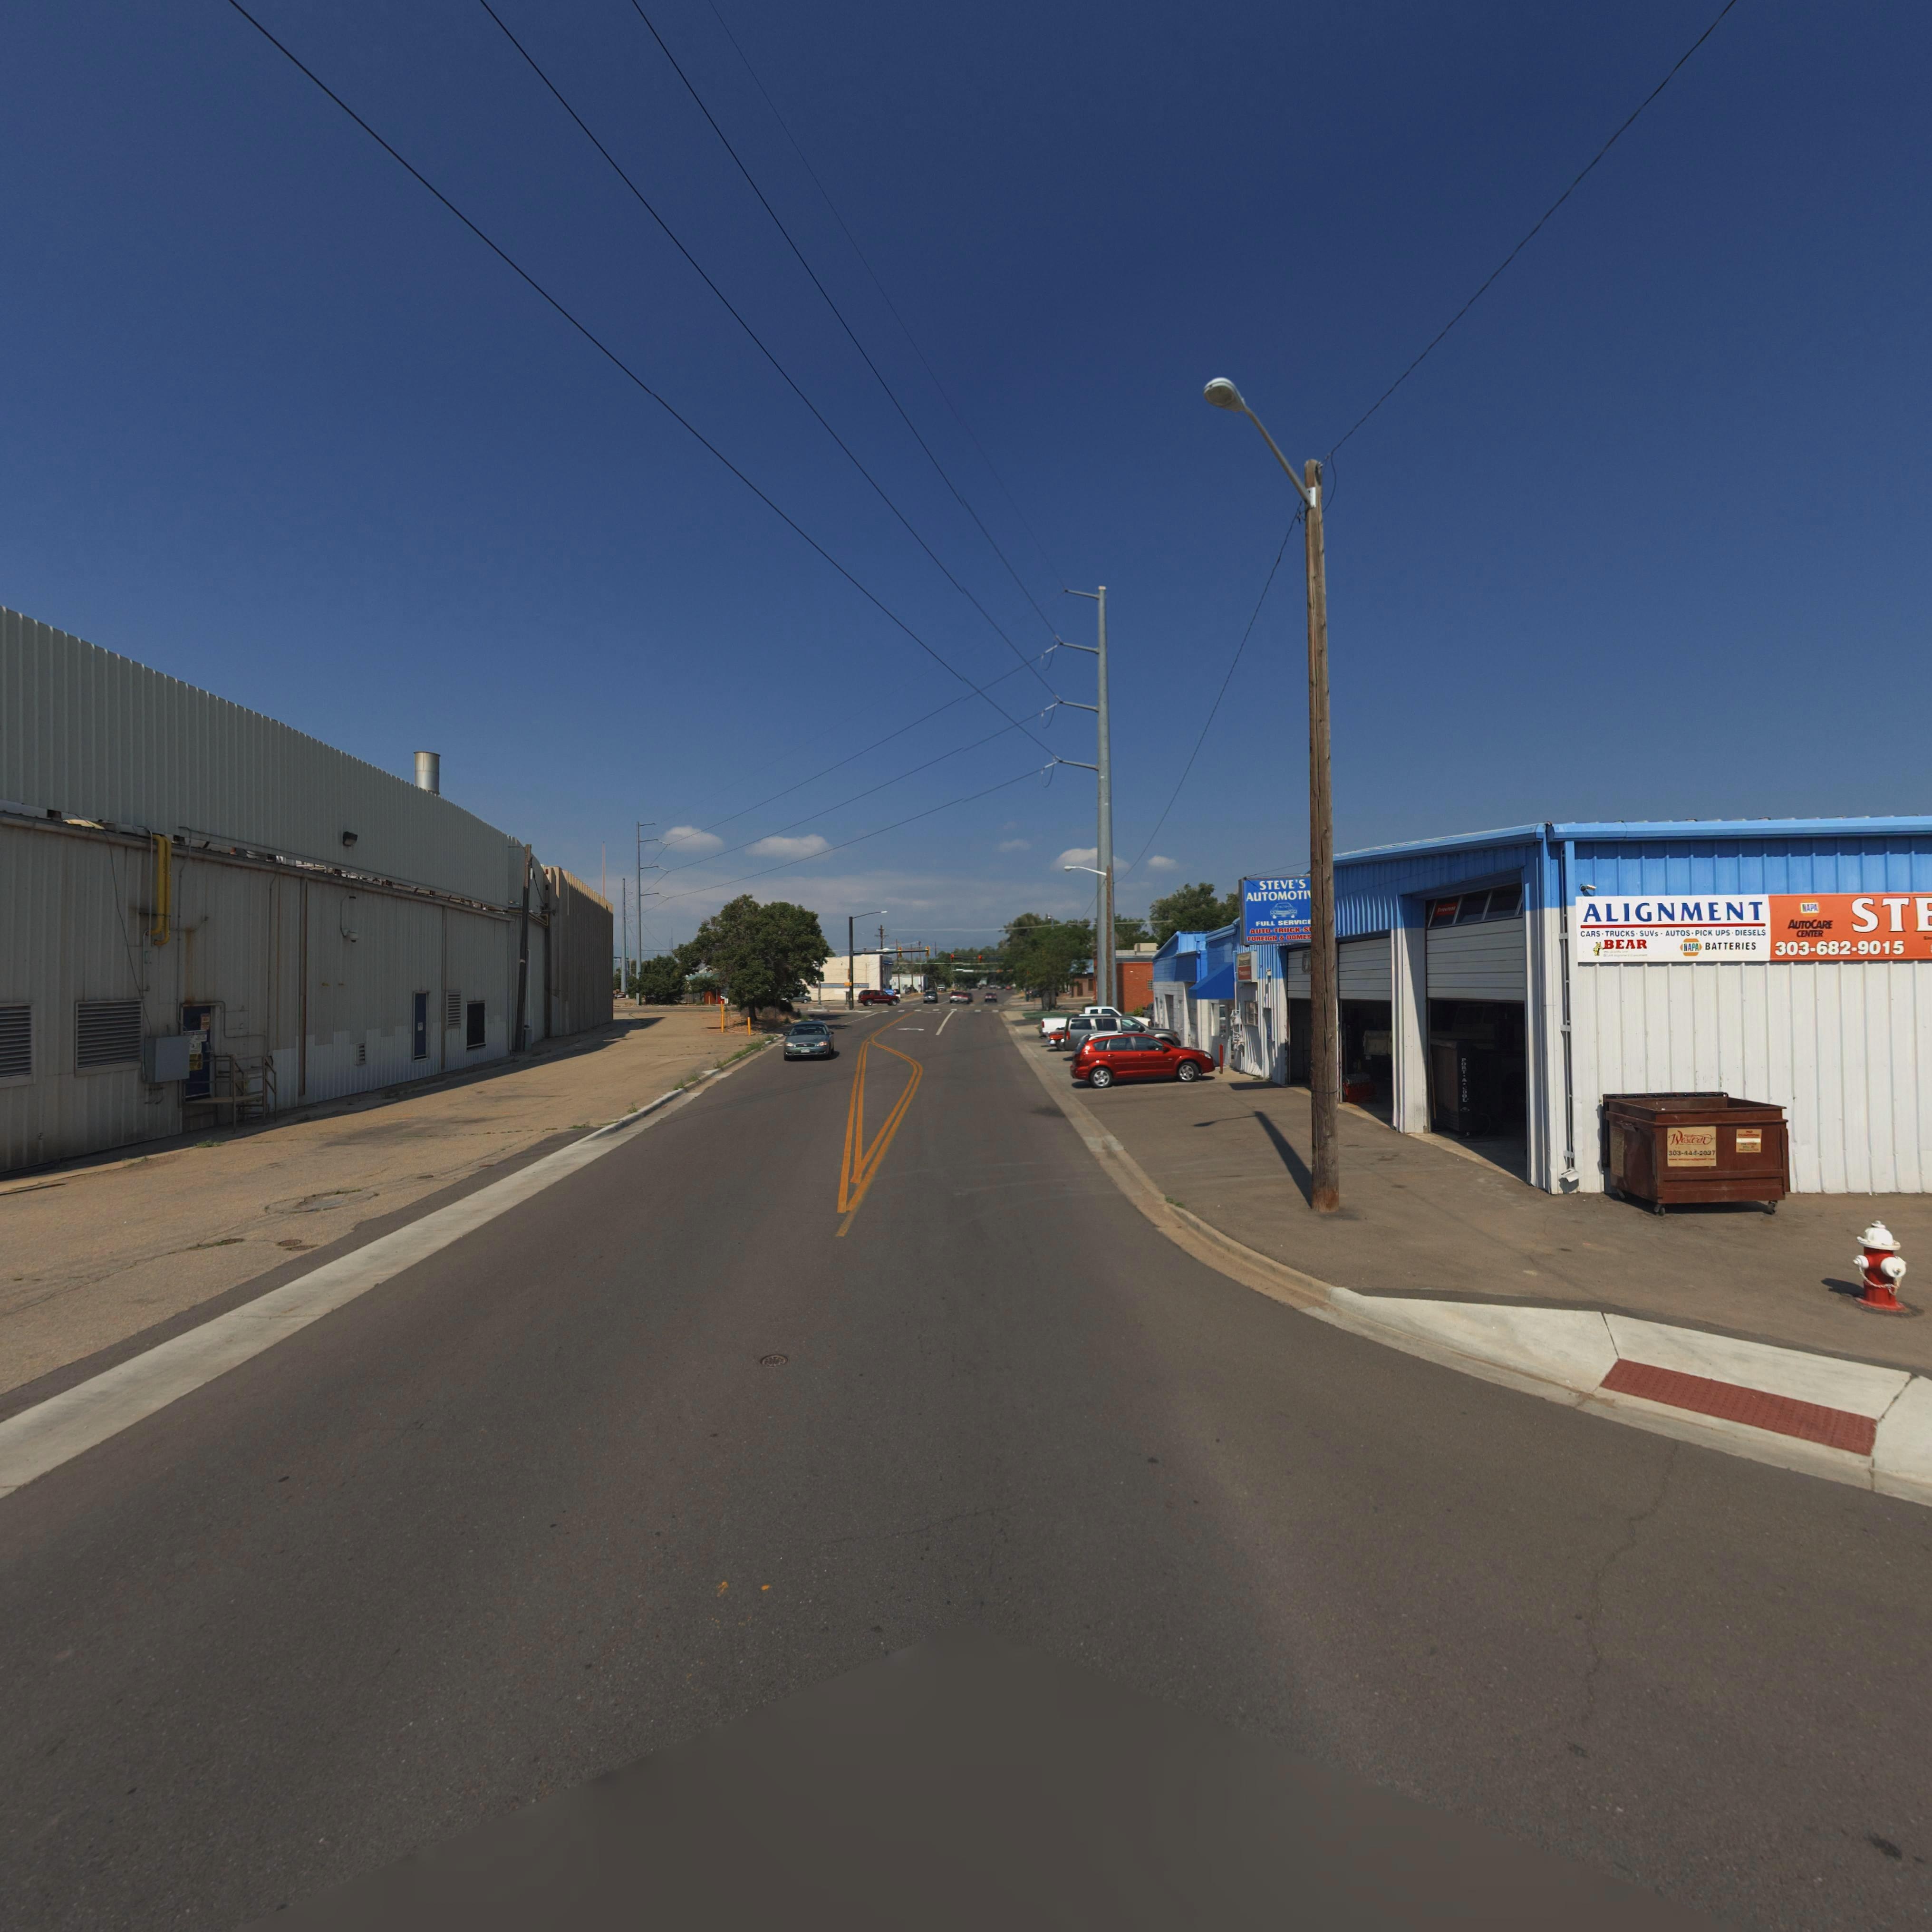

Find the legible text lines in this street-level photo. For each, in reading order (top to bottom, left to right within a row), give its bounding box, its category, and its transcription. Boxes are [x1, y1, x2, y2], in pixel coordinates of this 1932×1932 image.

[1258, 879, 1306, 890] BusinessName: STEVE'S
[1245, 889, 1312, 902] BusinessName: AUTOMOTI*
[1850, 896, 1912, 933] BusinessName: ST